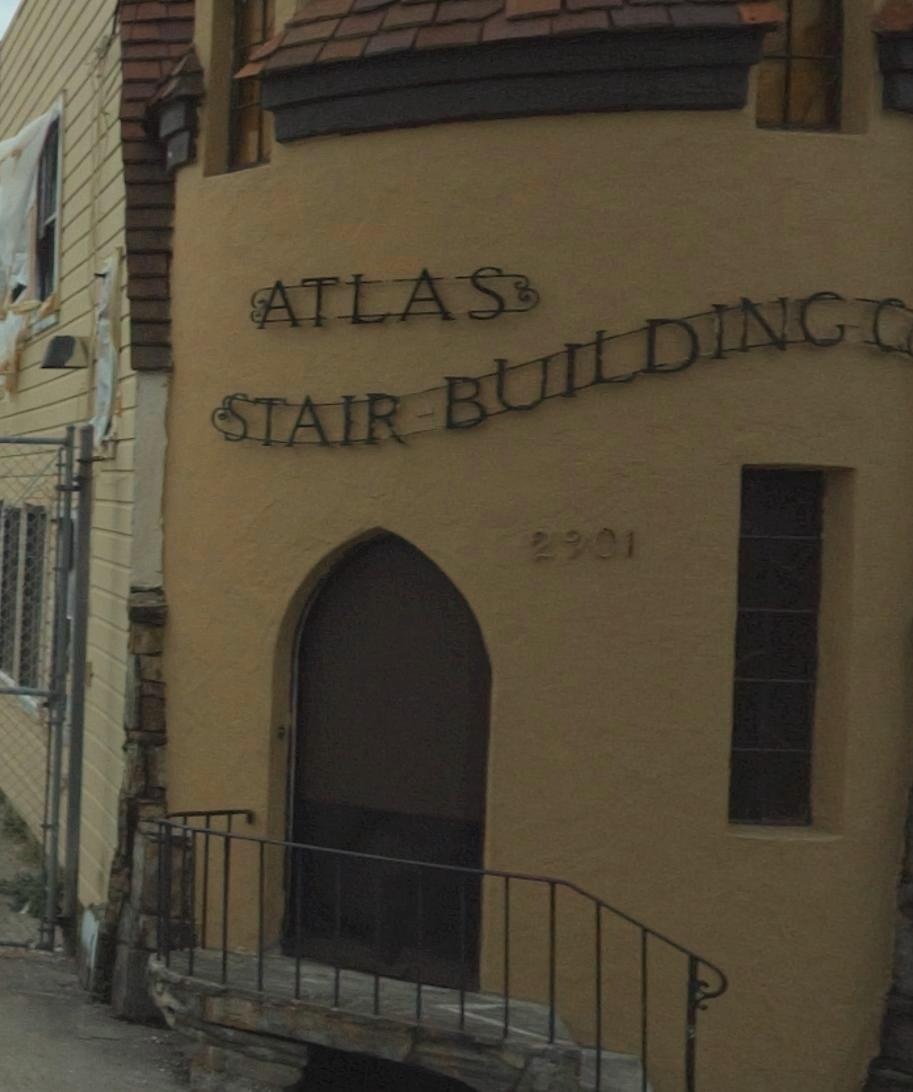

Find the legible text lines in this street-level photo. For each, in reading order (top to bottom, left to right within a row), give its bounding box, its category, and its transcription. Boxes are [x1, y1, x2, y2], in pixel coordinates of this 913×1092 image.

[254, 264, 506, 331] BusinessName: ATLAS
[219, 288, 911, 450] BusinessName: STAIR BUILDING C
[526, 525, 638, 563] StreetNumber: 2901